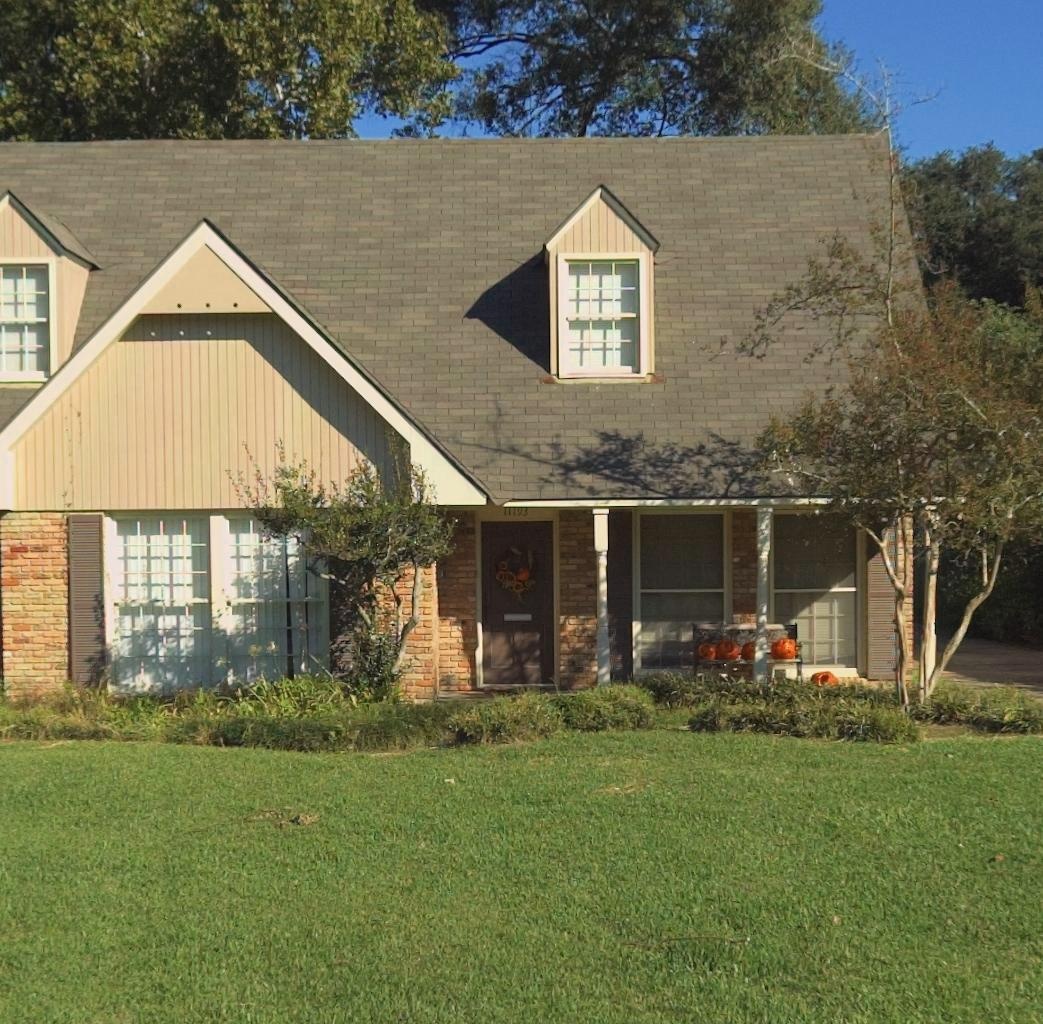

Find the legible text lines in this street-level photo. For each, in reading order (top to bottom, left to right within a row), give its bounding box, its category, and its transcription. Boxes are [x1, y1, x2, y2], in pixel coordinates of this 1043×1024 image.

[502, 506, 530, 519] StreetNumber: 11193